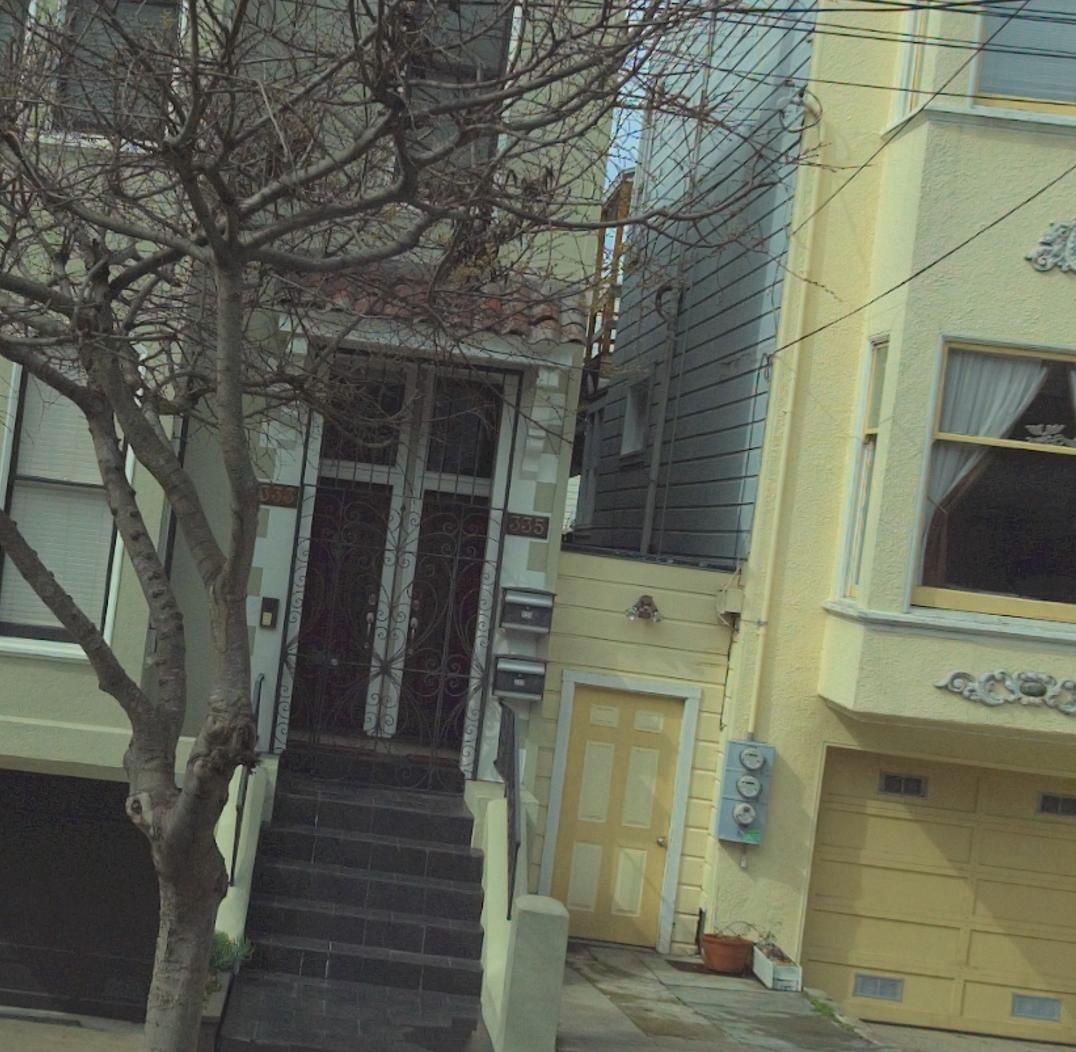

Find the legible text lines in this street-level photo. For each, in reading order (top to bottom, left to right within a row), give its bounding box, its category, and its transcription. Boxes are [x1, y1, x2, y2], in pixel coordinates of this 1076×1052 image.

[255, 481, 299, 507] StreetNumber: 333
[506, 512, 548, 538] StreetNumber: 335